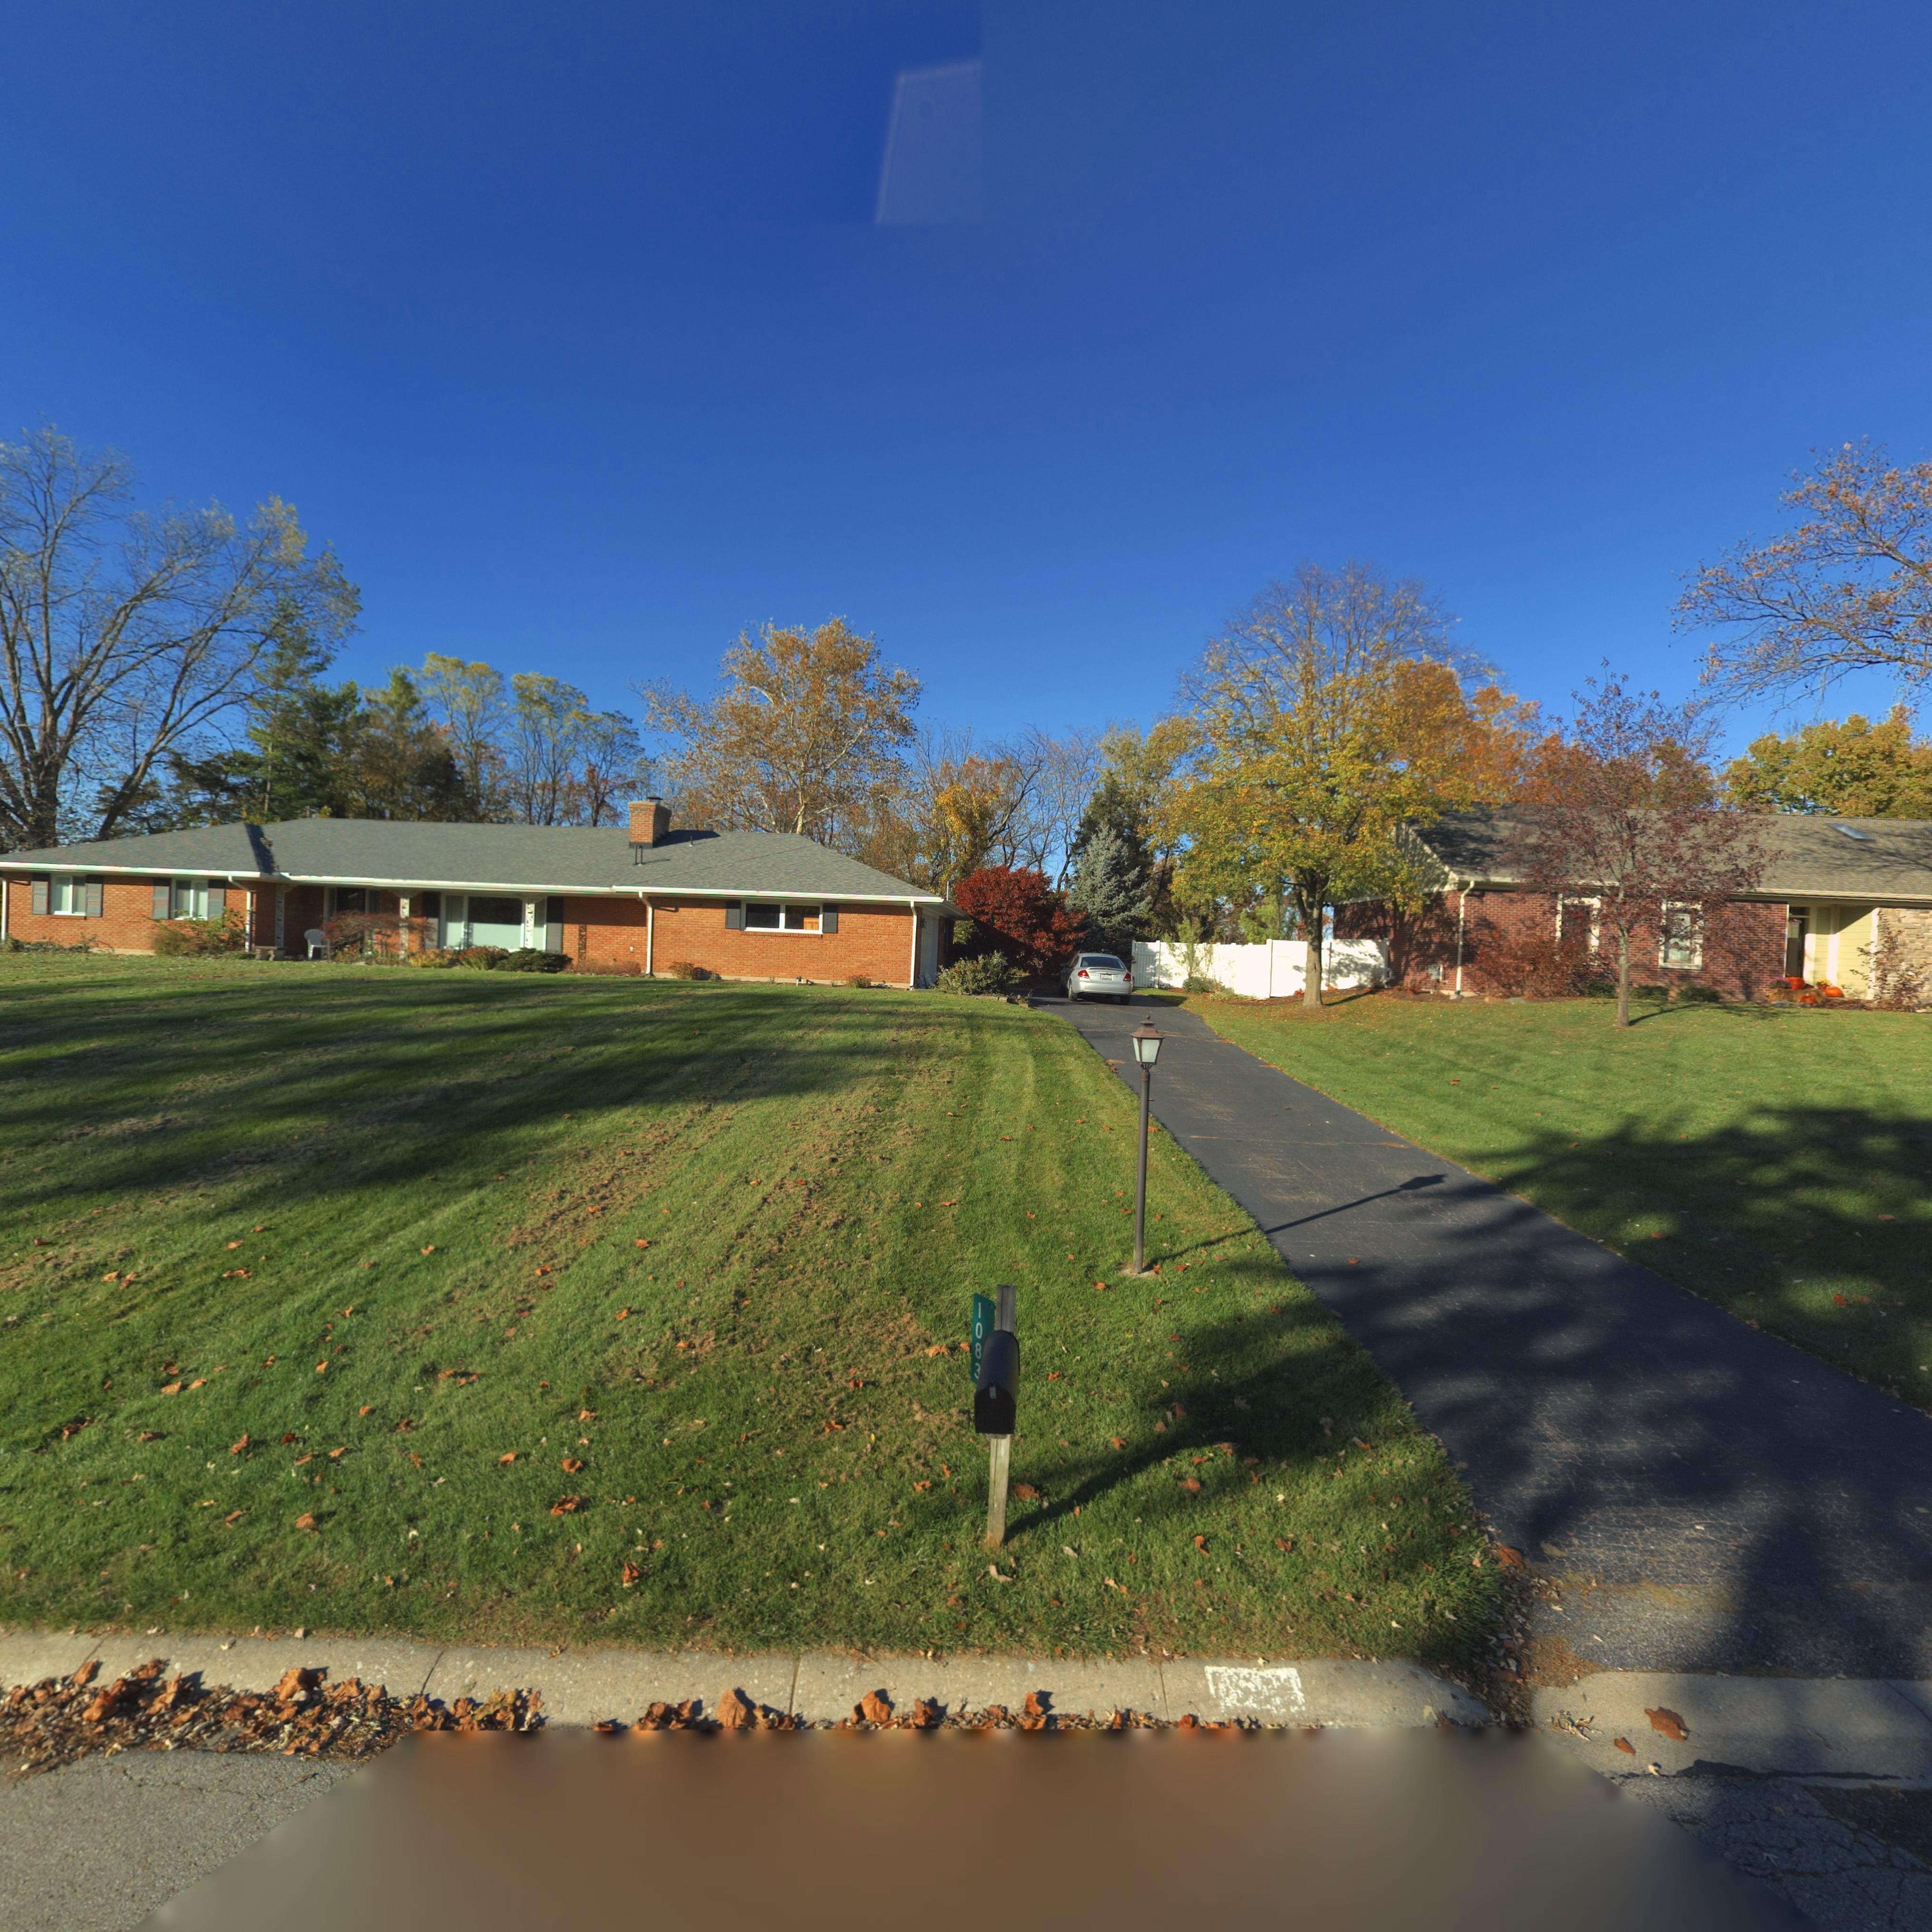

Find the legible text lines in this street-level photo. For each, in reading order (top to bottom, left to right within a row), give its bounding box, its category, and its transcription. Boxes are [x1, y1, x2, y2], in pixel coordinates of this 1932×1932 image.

[972, 1300, 984, 1381] StreetNumber: 108*